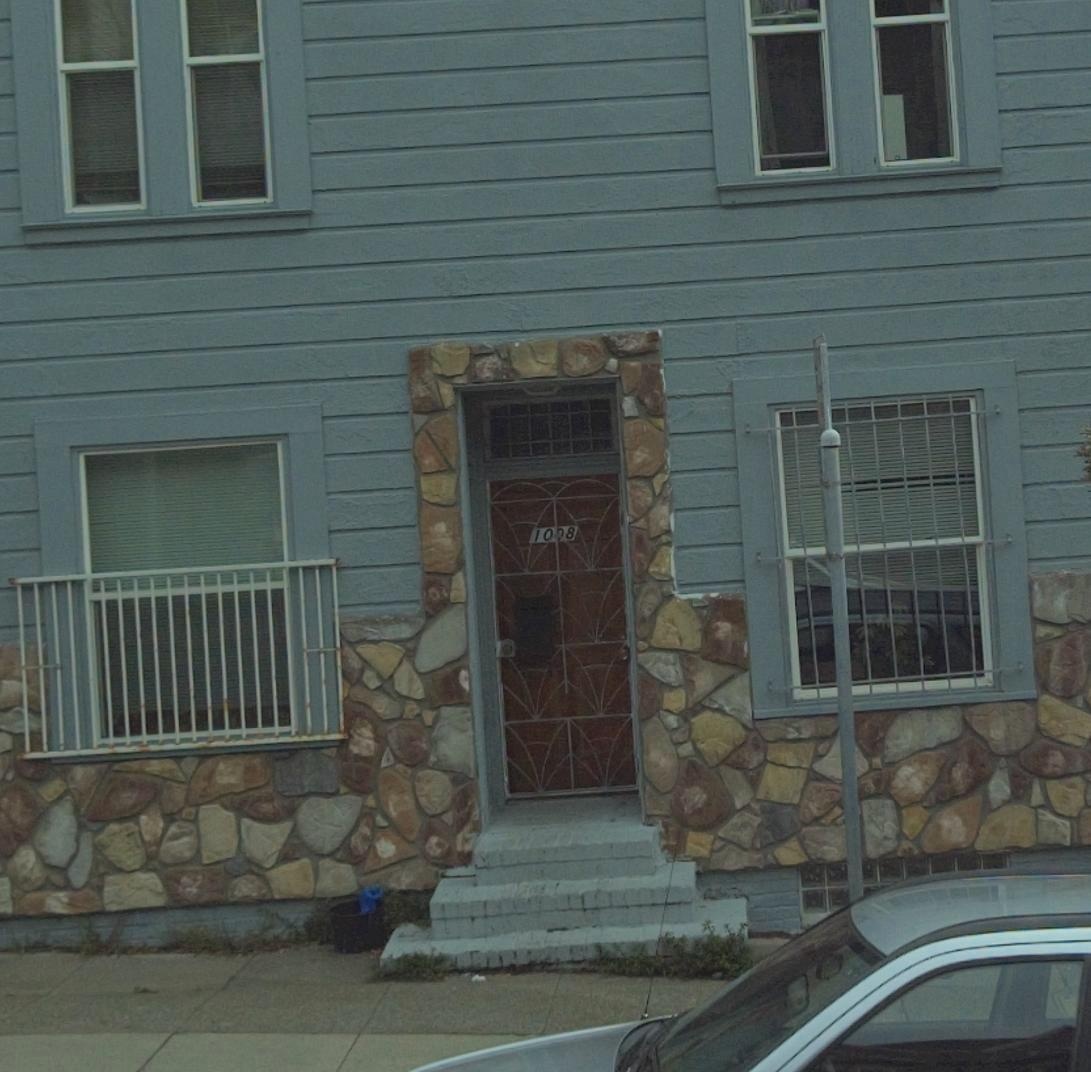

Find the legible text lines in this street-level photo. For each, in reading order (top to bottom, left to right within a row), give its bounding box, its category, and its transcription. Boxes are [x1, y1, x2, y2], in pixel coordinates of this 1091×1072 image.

[528, 525, 580, 544] StreetNumber: 10*8